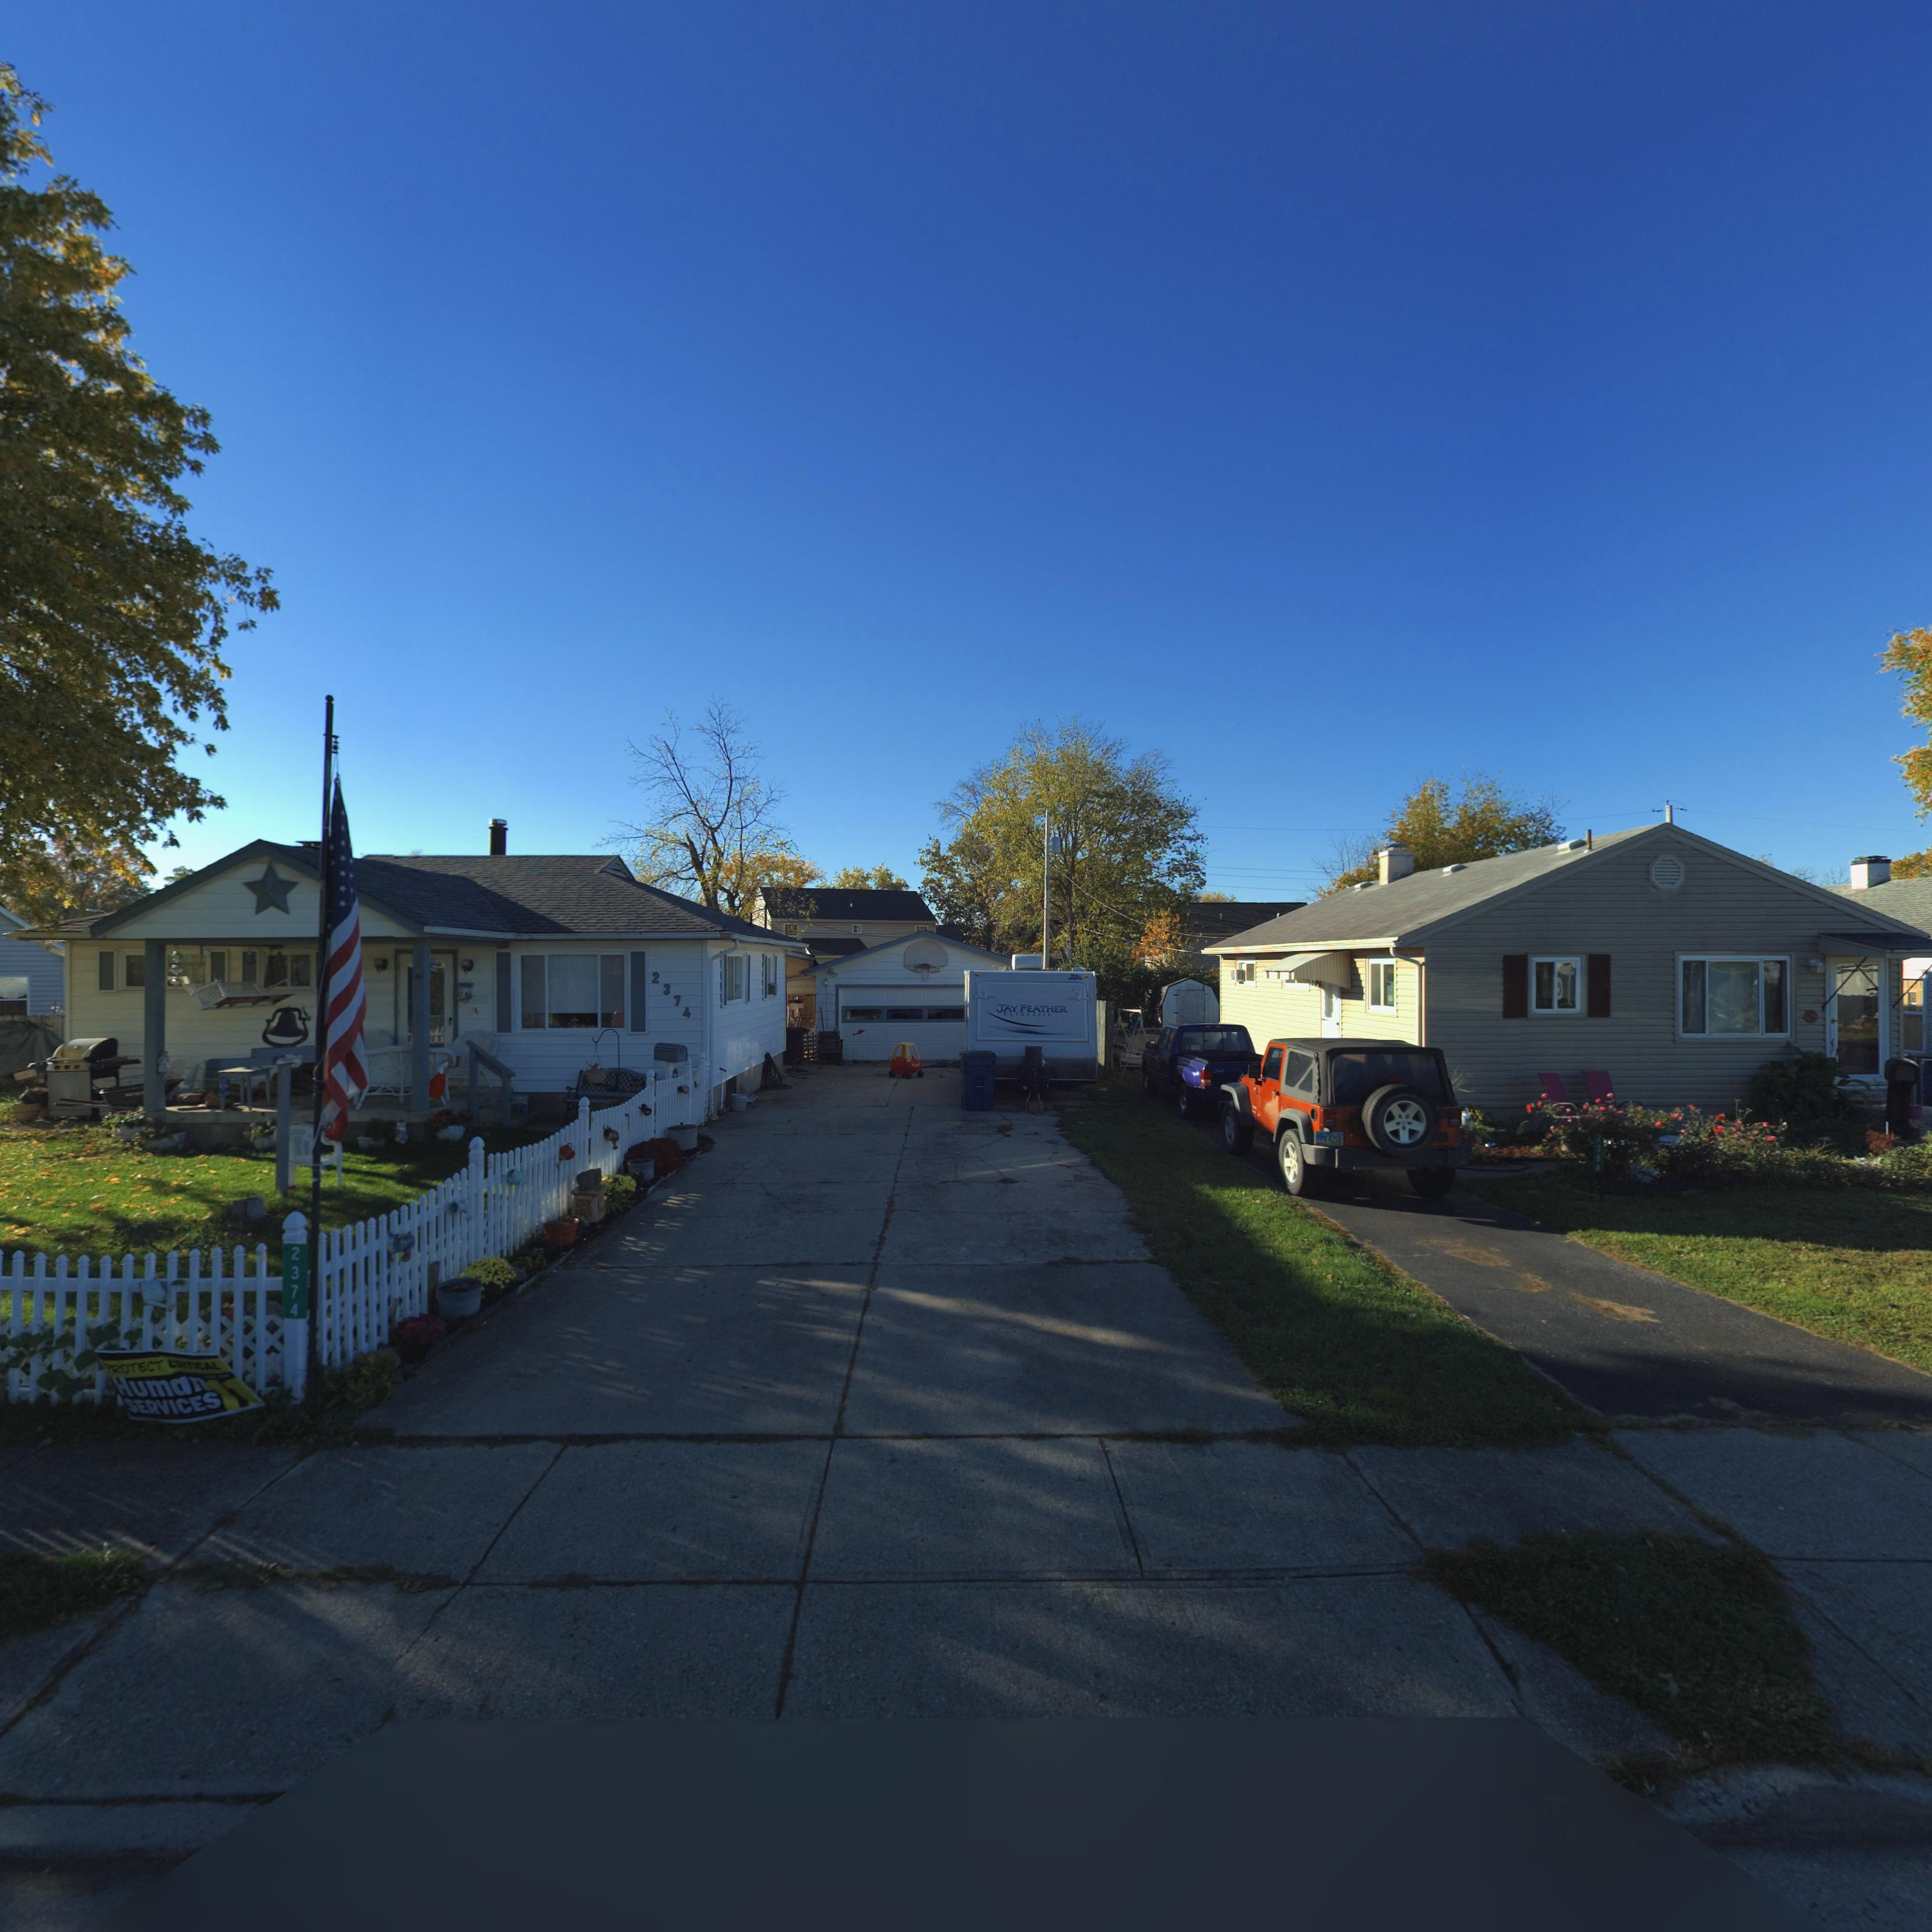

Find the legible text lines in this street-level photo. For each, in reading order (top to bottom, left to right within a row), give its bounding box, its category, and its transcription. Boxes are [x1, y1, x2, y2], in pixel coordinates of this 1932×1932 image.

[651, 971, 692, 1019] StreetNumber: 2374
[1595, 1133, 1601, 1171] StreetNumber: 2384
[289, 1245, 300, 1317] StreetNumber: 2374